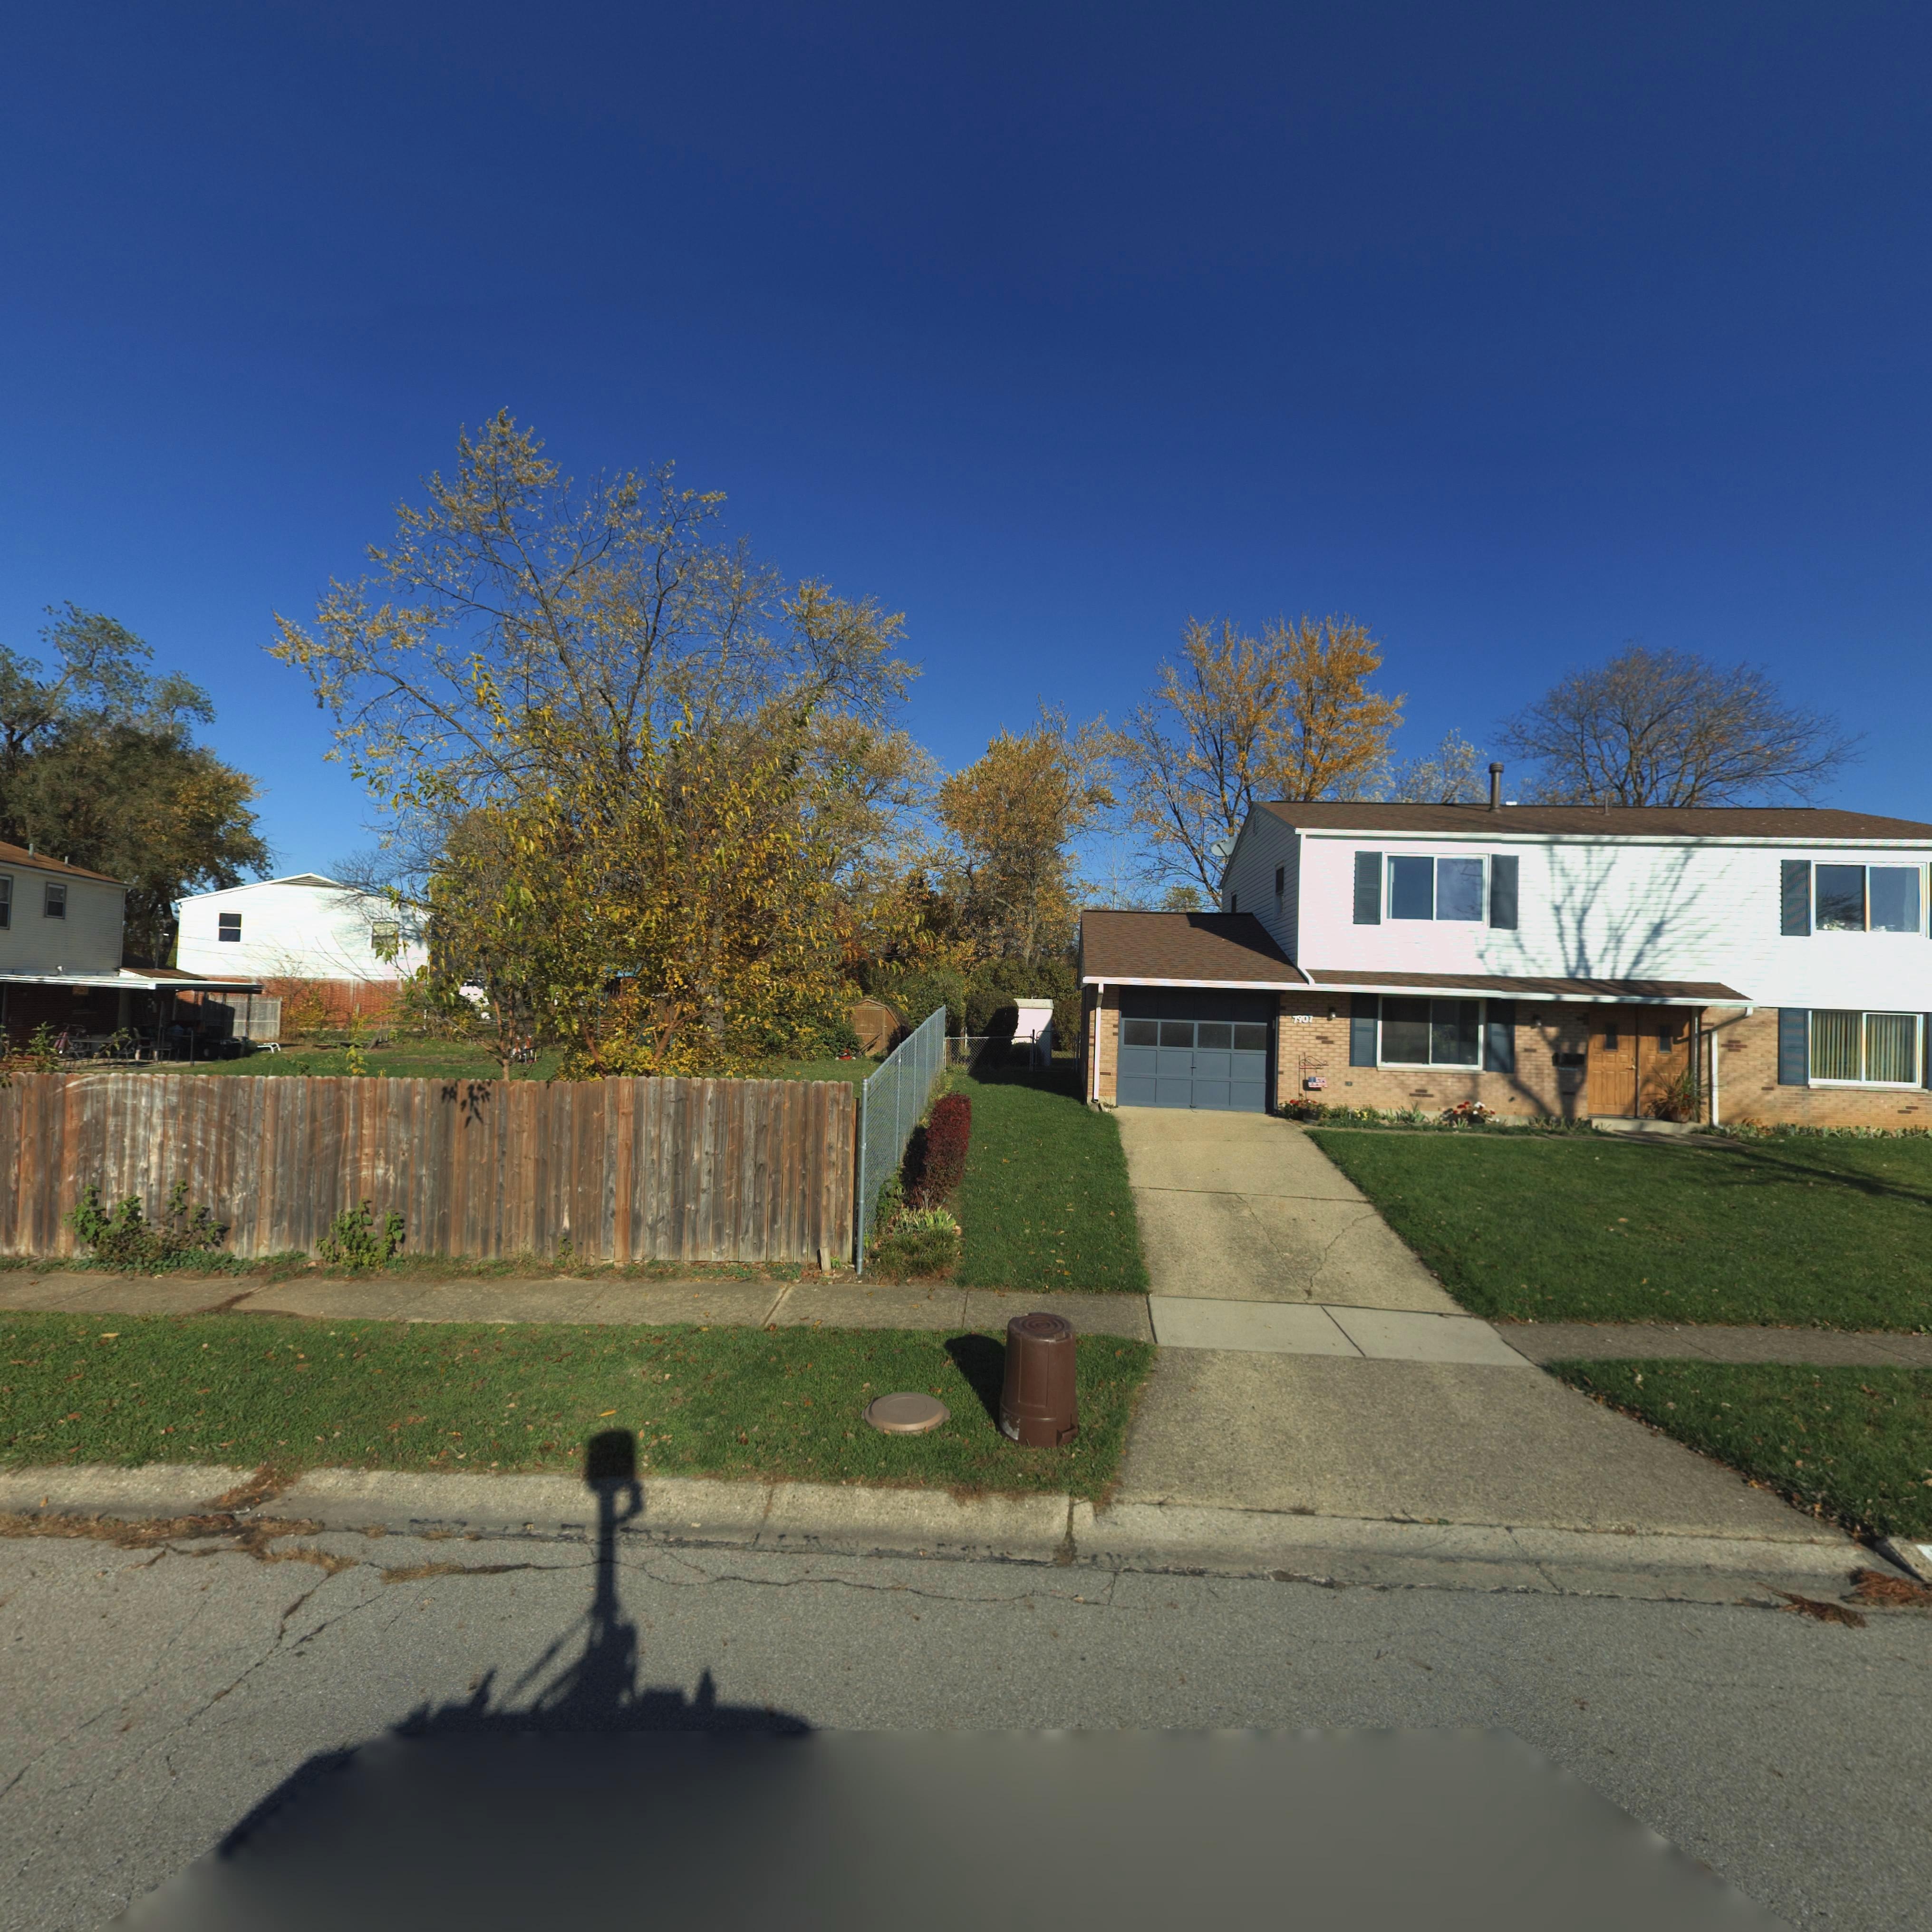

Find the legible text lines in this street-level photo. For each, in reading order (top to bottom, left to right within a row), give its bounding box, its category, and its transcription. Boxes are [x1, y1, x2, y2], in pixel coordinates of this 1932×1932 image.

[1291, 1014, 1314, 1025] StreetNumber: 7901